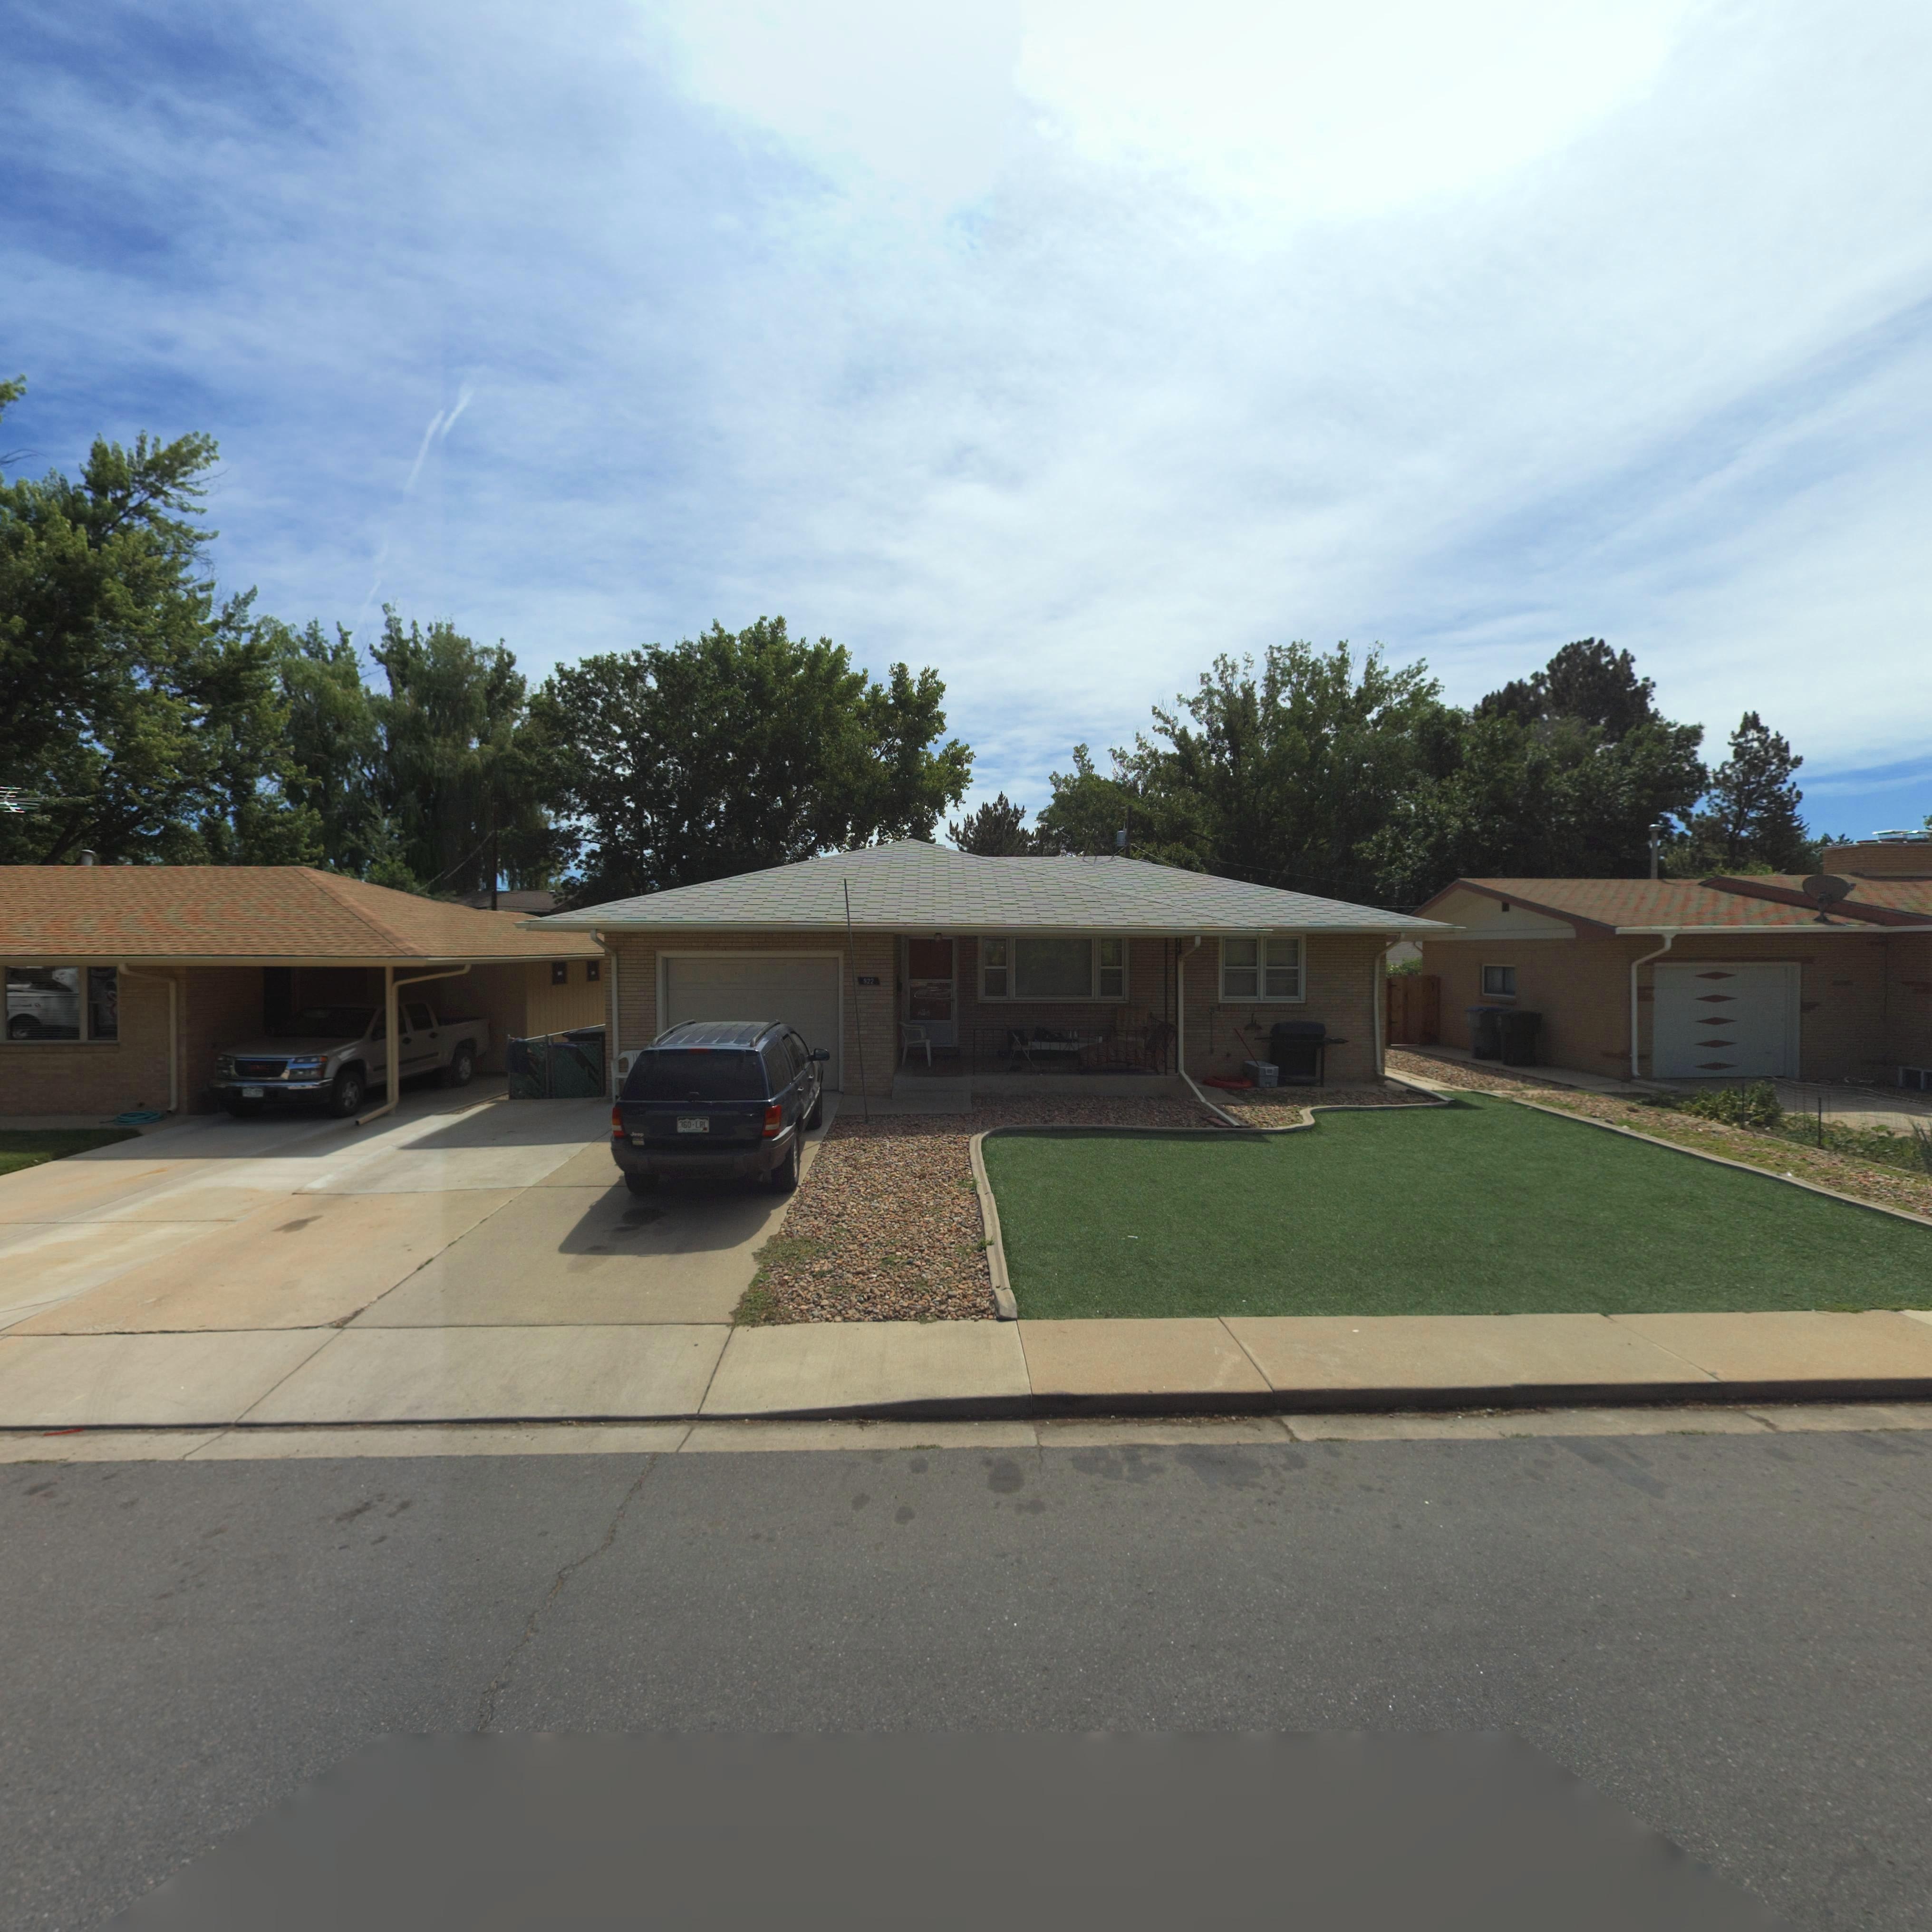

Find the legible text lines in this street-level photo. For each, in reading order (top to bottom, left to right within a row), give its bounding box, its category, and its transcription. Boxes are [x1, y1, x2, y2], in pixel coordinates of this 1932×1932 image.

[863, 978, 874, 984] StreetNumber: 922